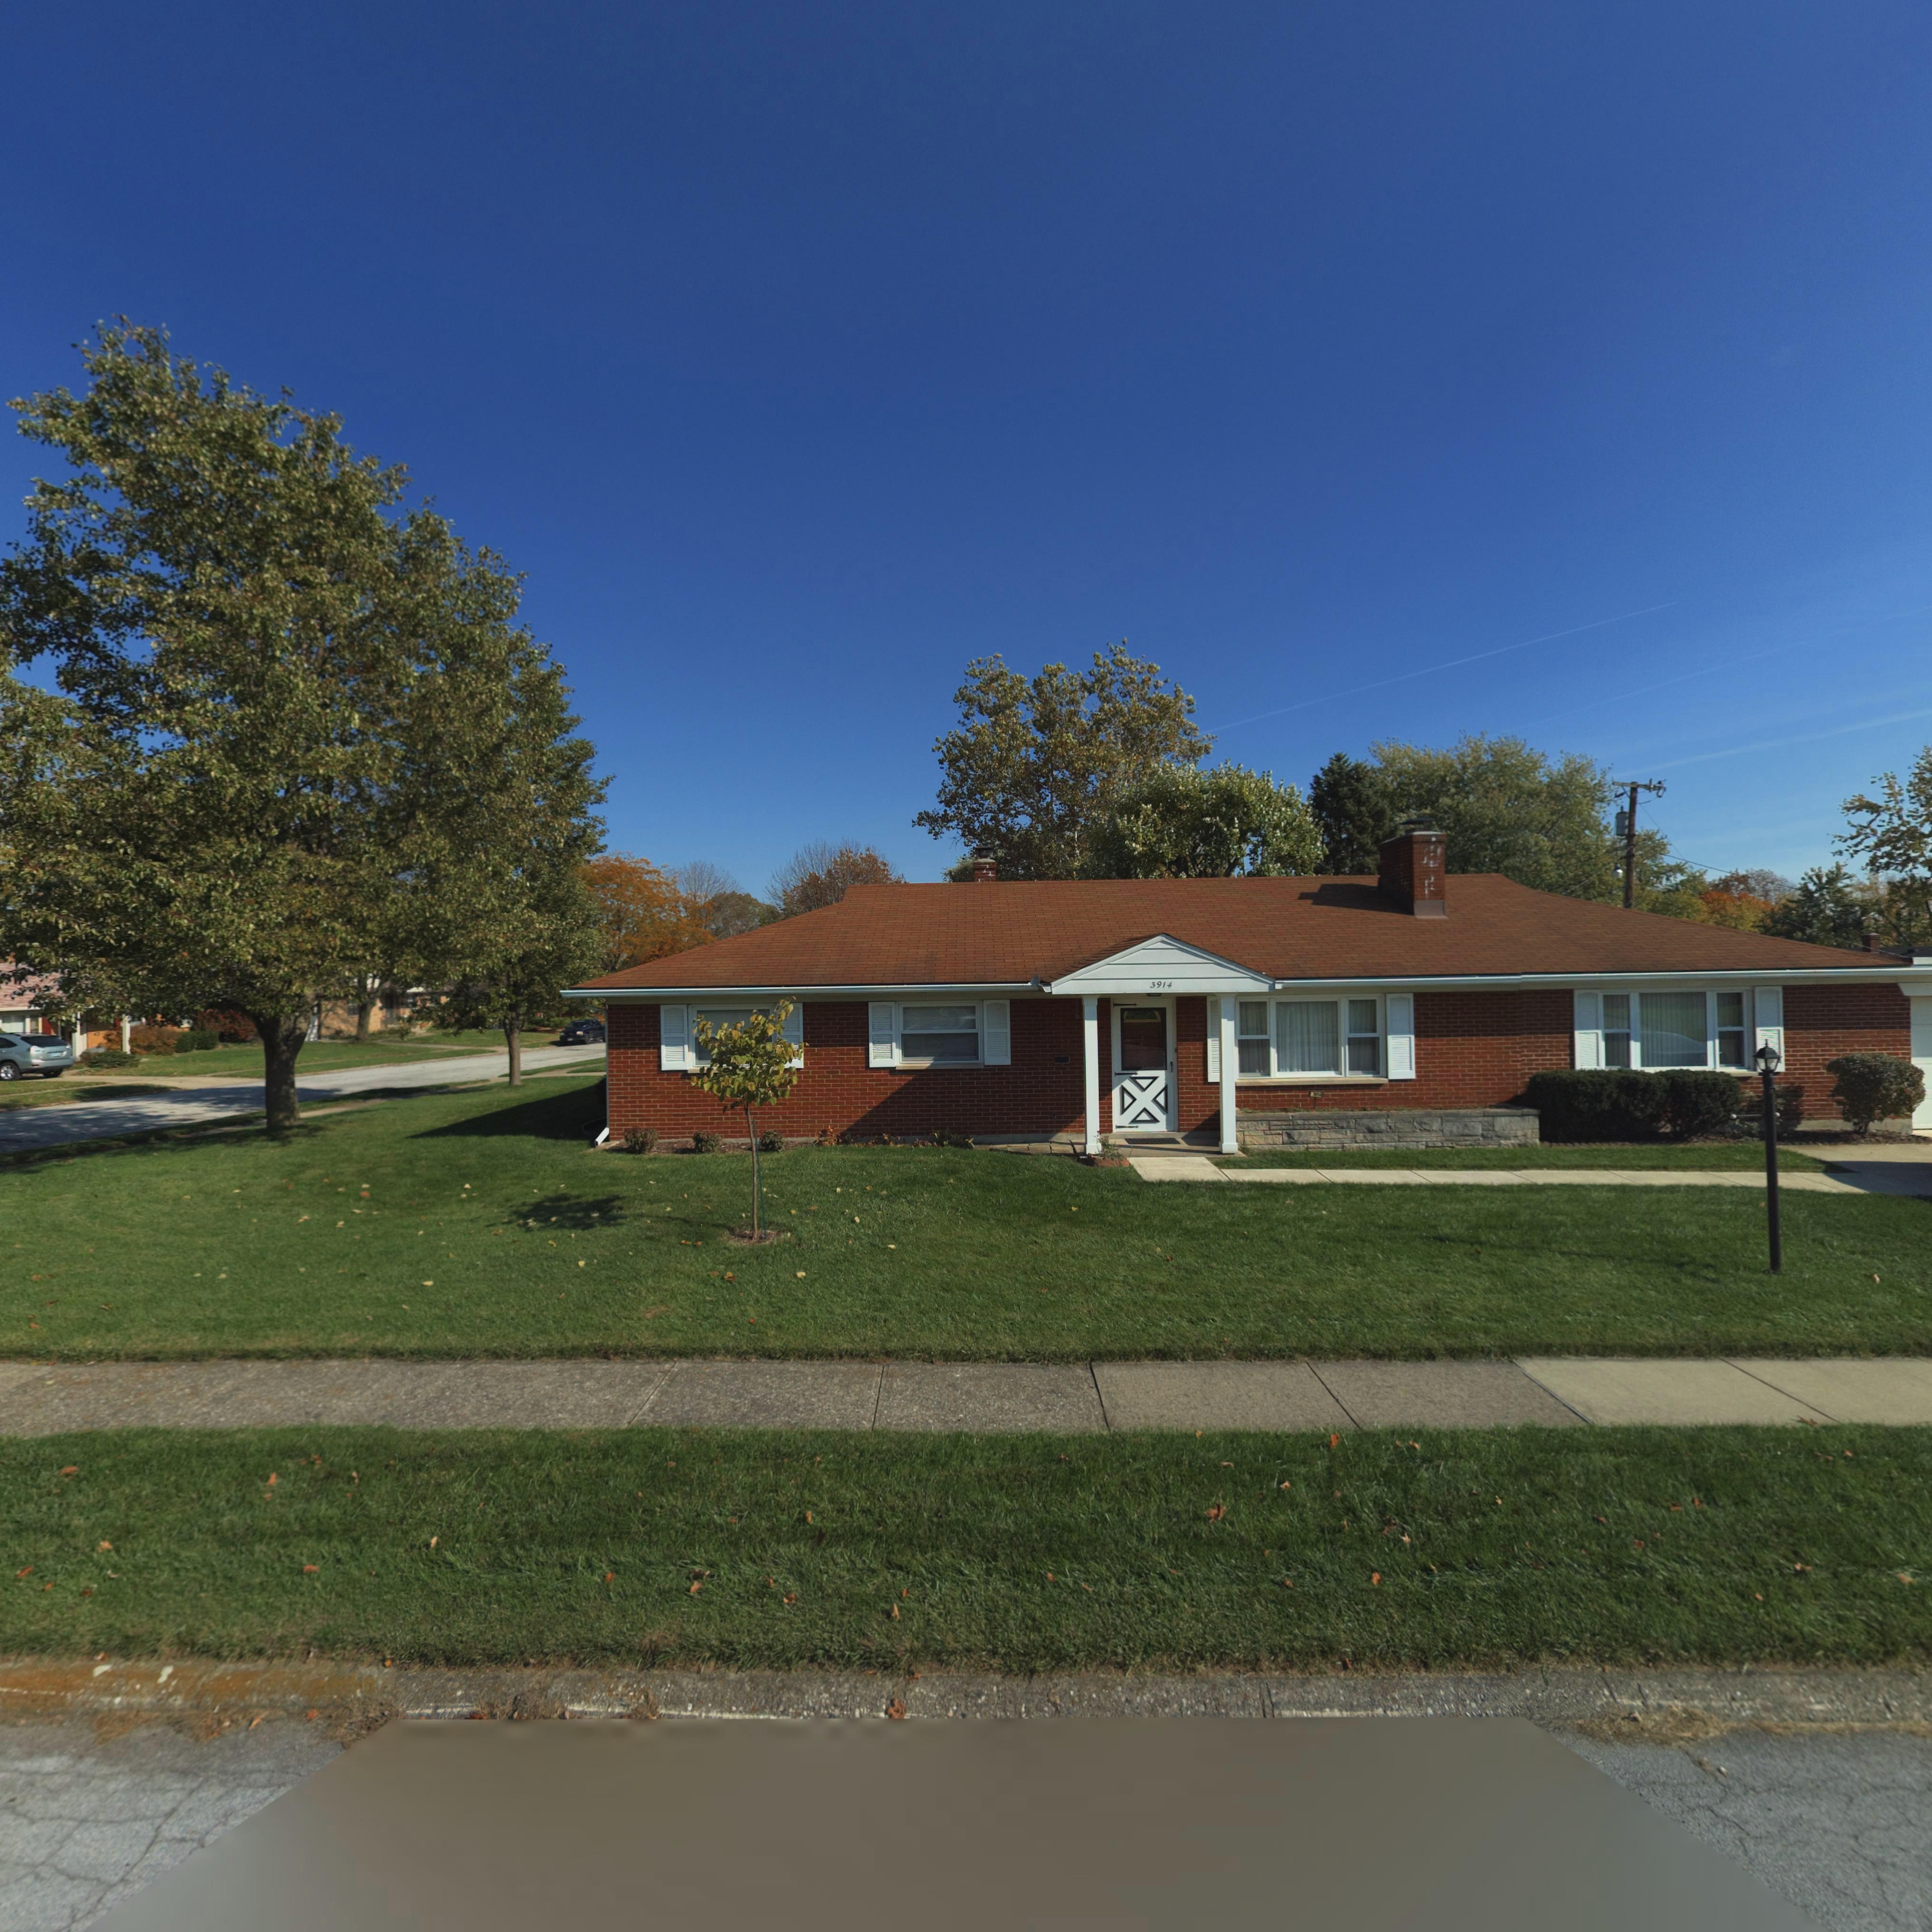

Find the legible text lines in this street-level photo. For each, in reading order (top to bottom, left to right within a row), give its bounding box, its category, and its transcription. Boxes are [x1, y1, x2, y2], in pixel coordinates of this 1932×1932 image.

[1149, 981, 1174, 988] StreetNumber: 3914